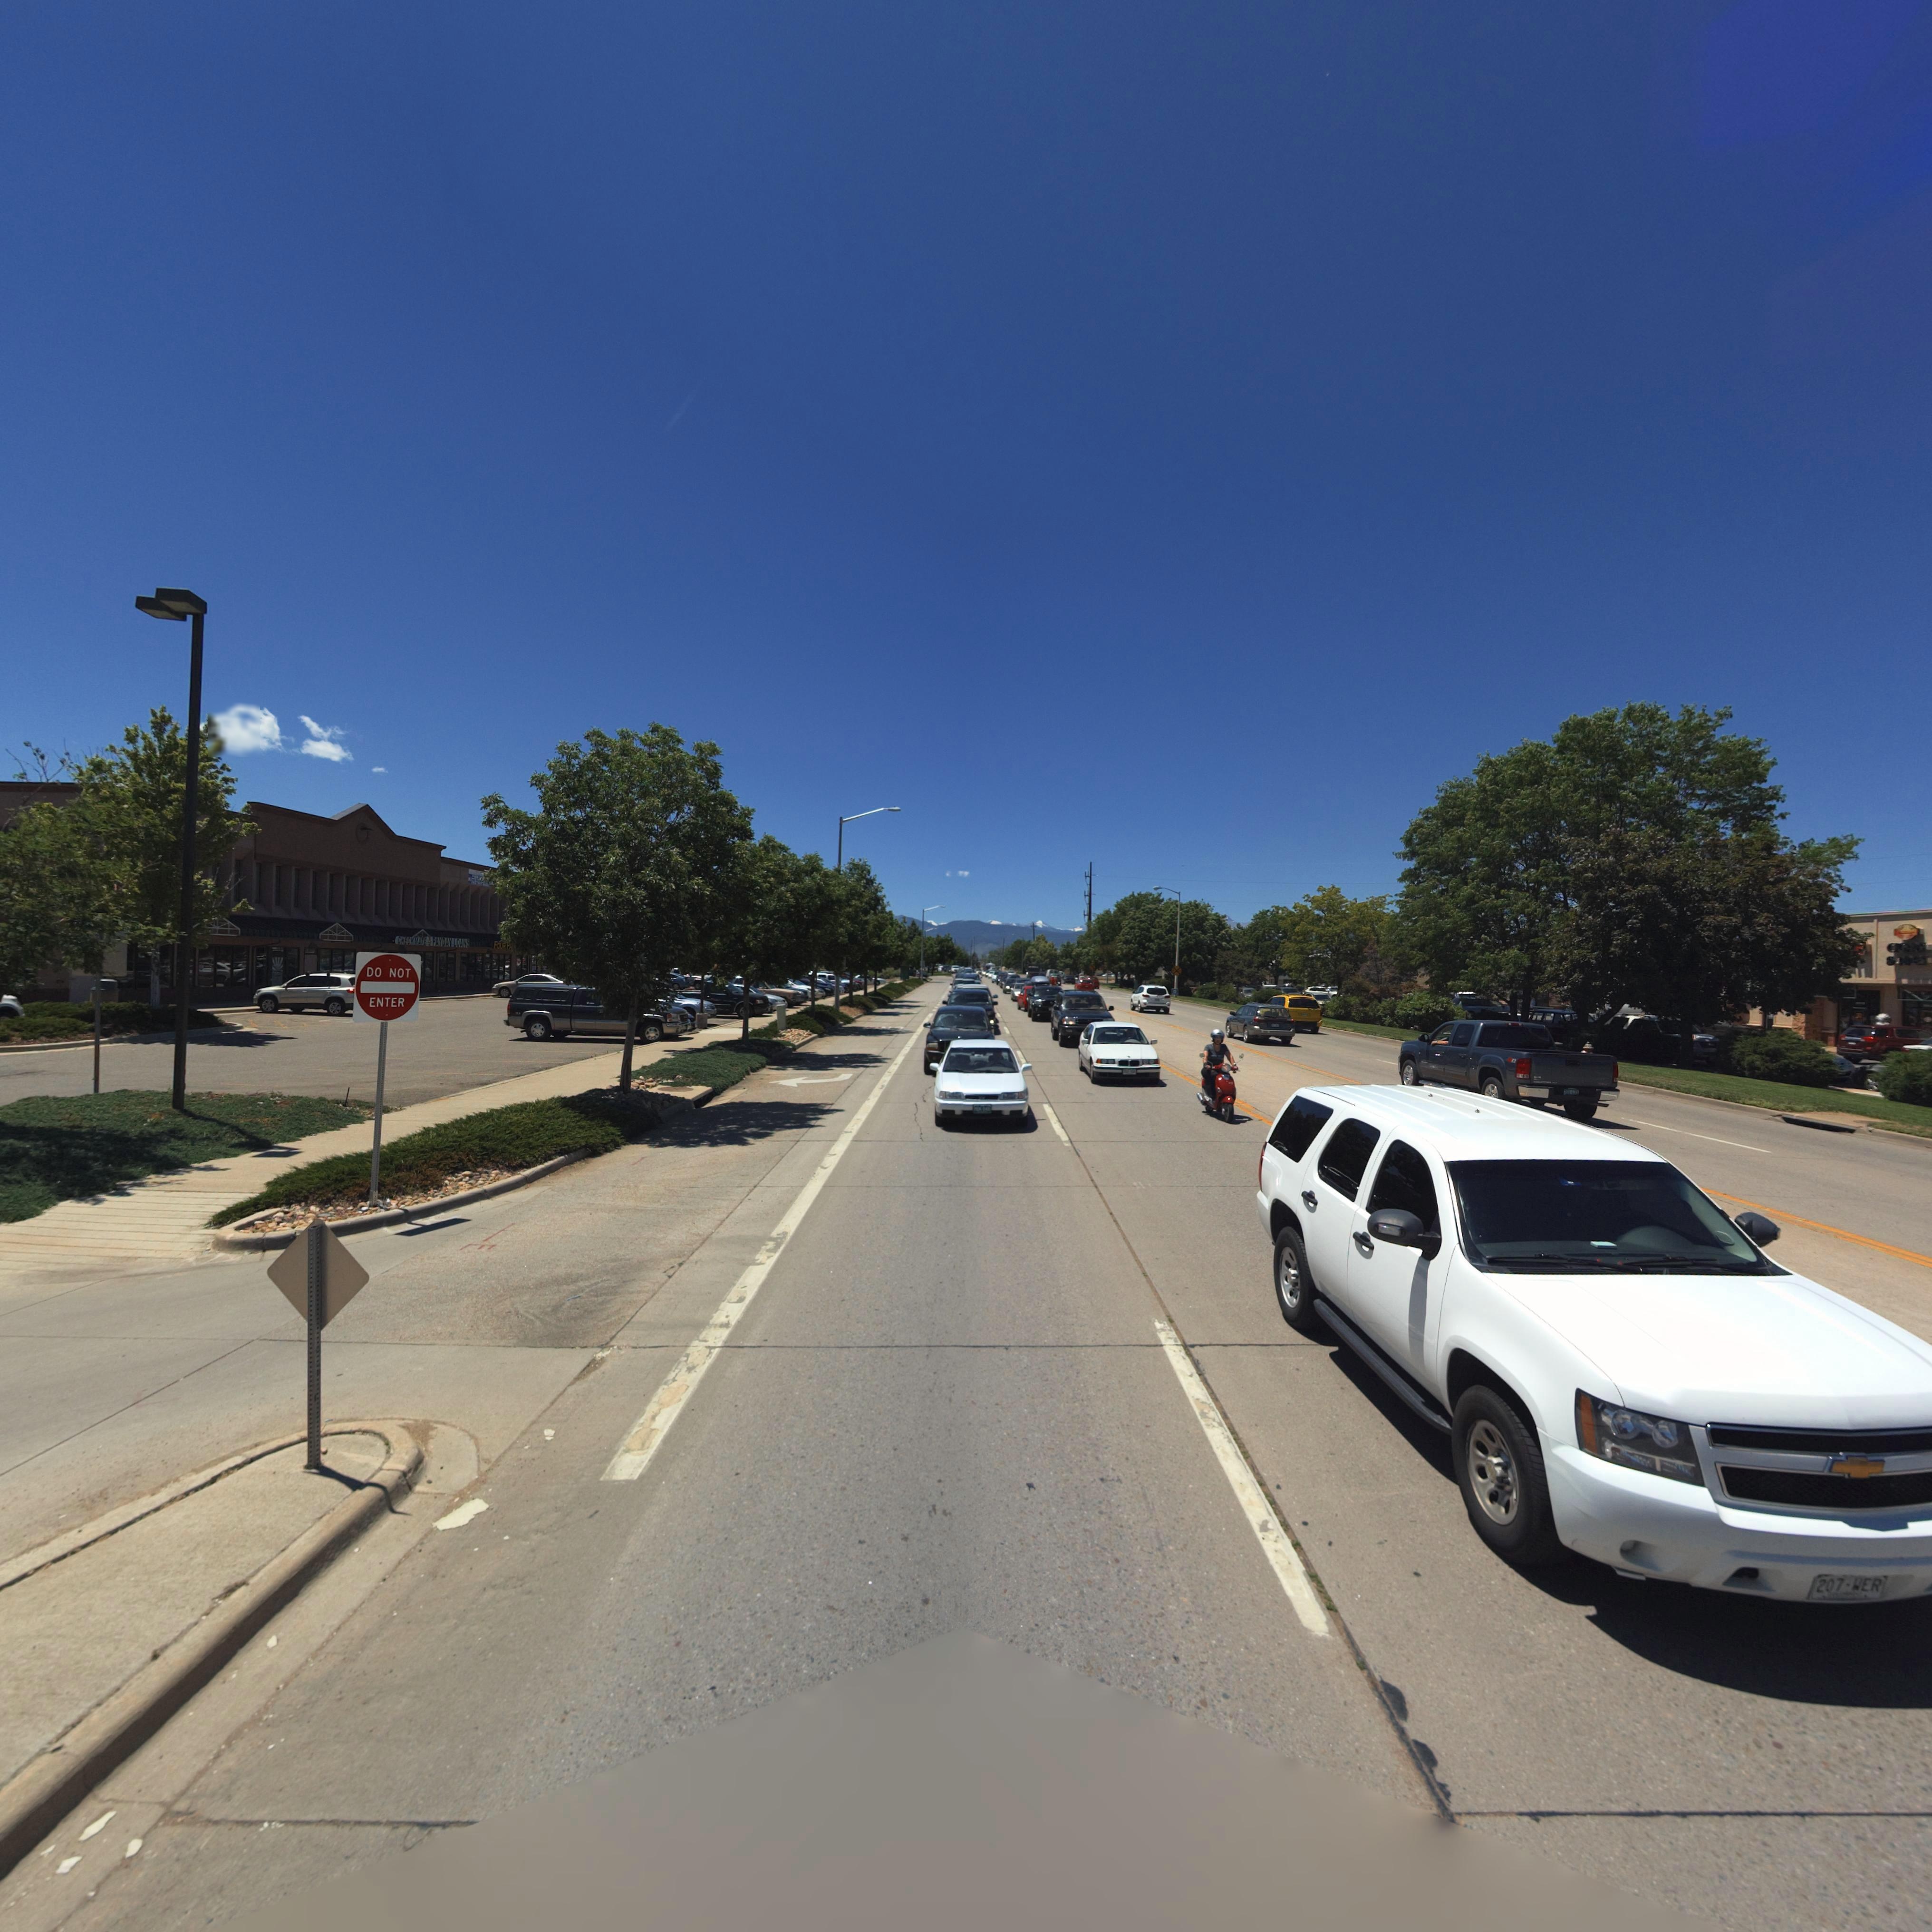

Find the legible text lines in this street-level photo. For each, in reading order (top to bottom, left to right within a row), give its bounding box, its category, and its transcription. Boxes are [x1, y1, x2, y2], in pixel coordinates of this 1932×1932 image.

[395, 935, 470, 948] BusinessName: CHECKMATE* PAYDAY LOANS
[493, 940, 512, 950] BusinessName: FOUR **
[1885, 941, 1927, 953] BusinessName: C*****
[1885, 954, 1929, 966] BusinessName: S****